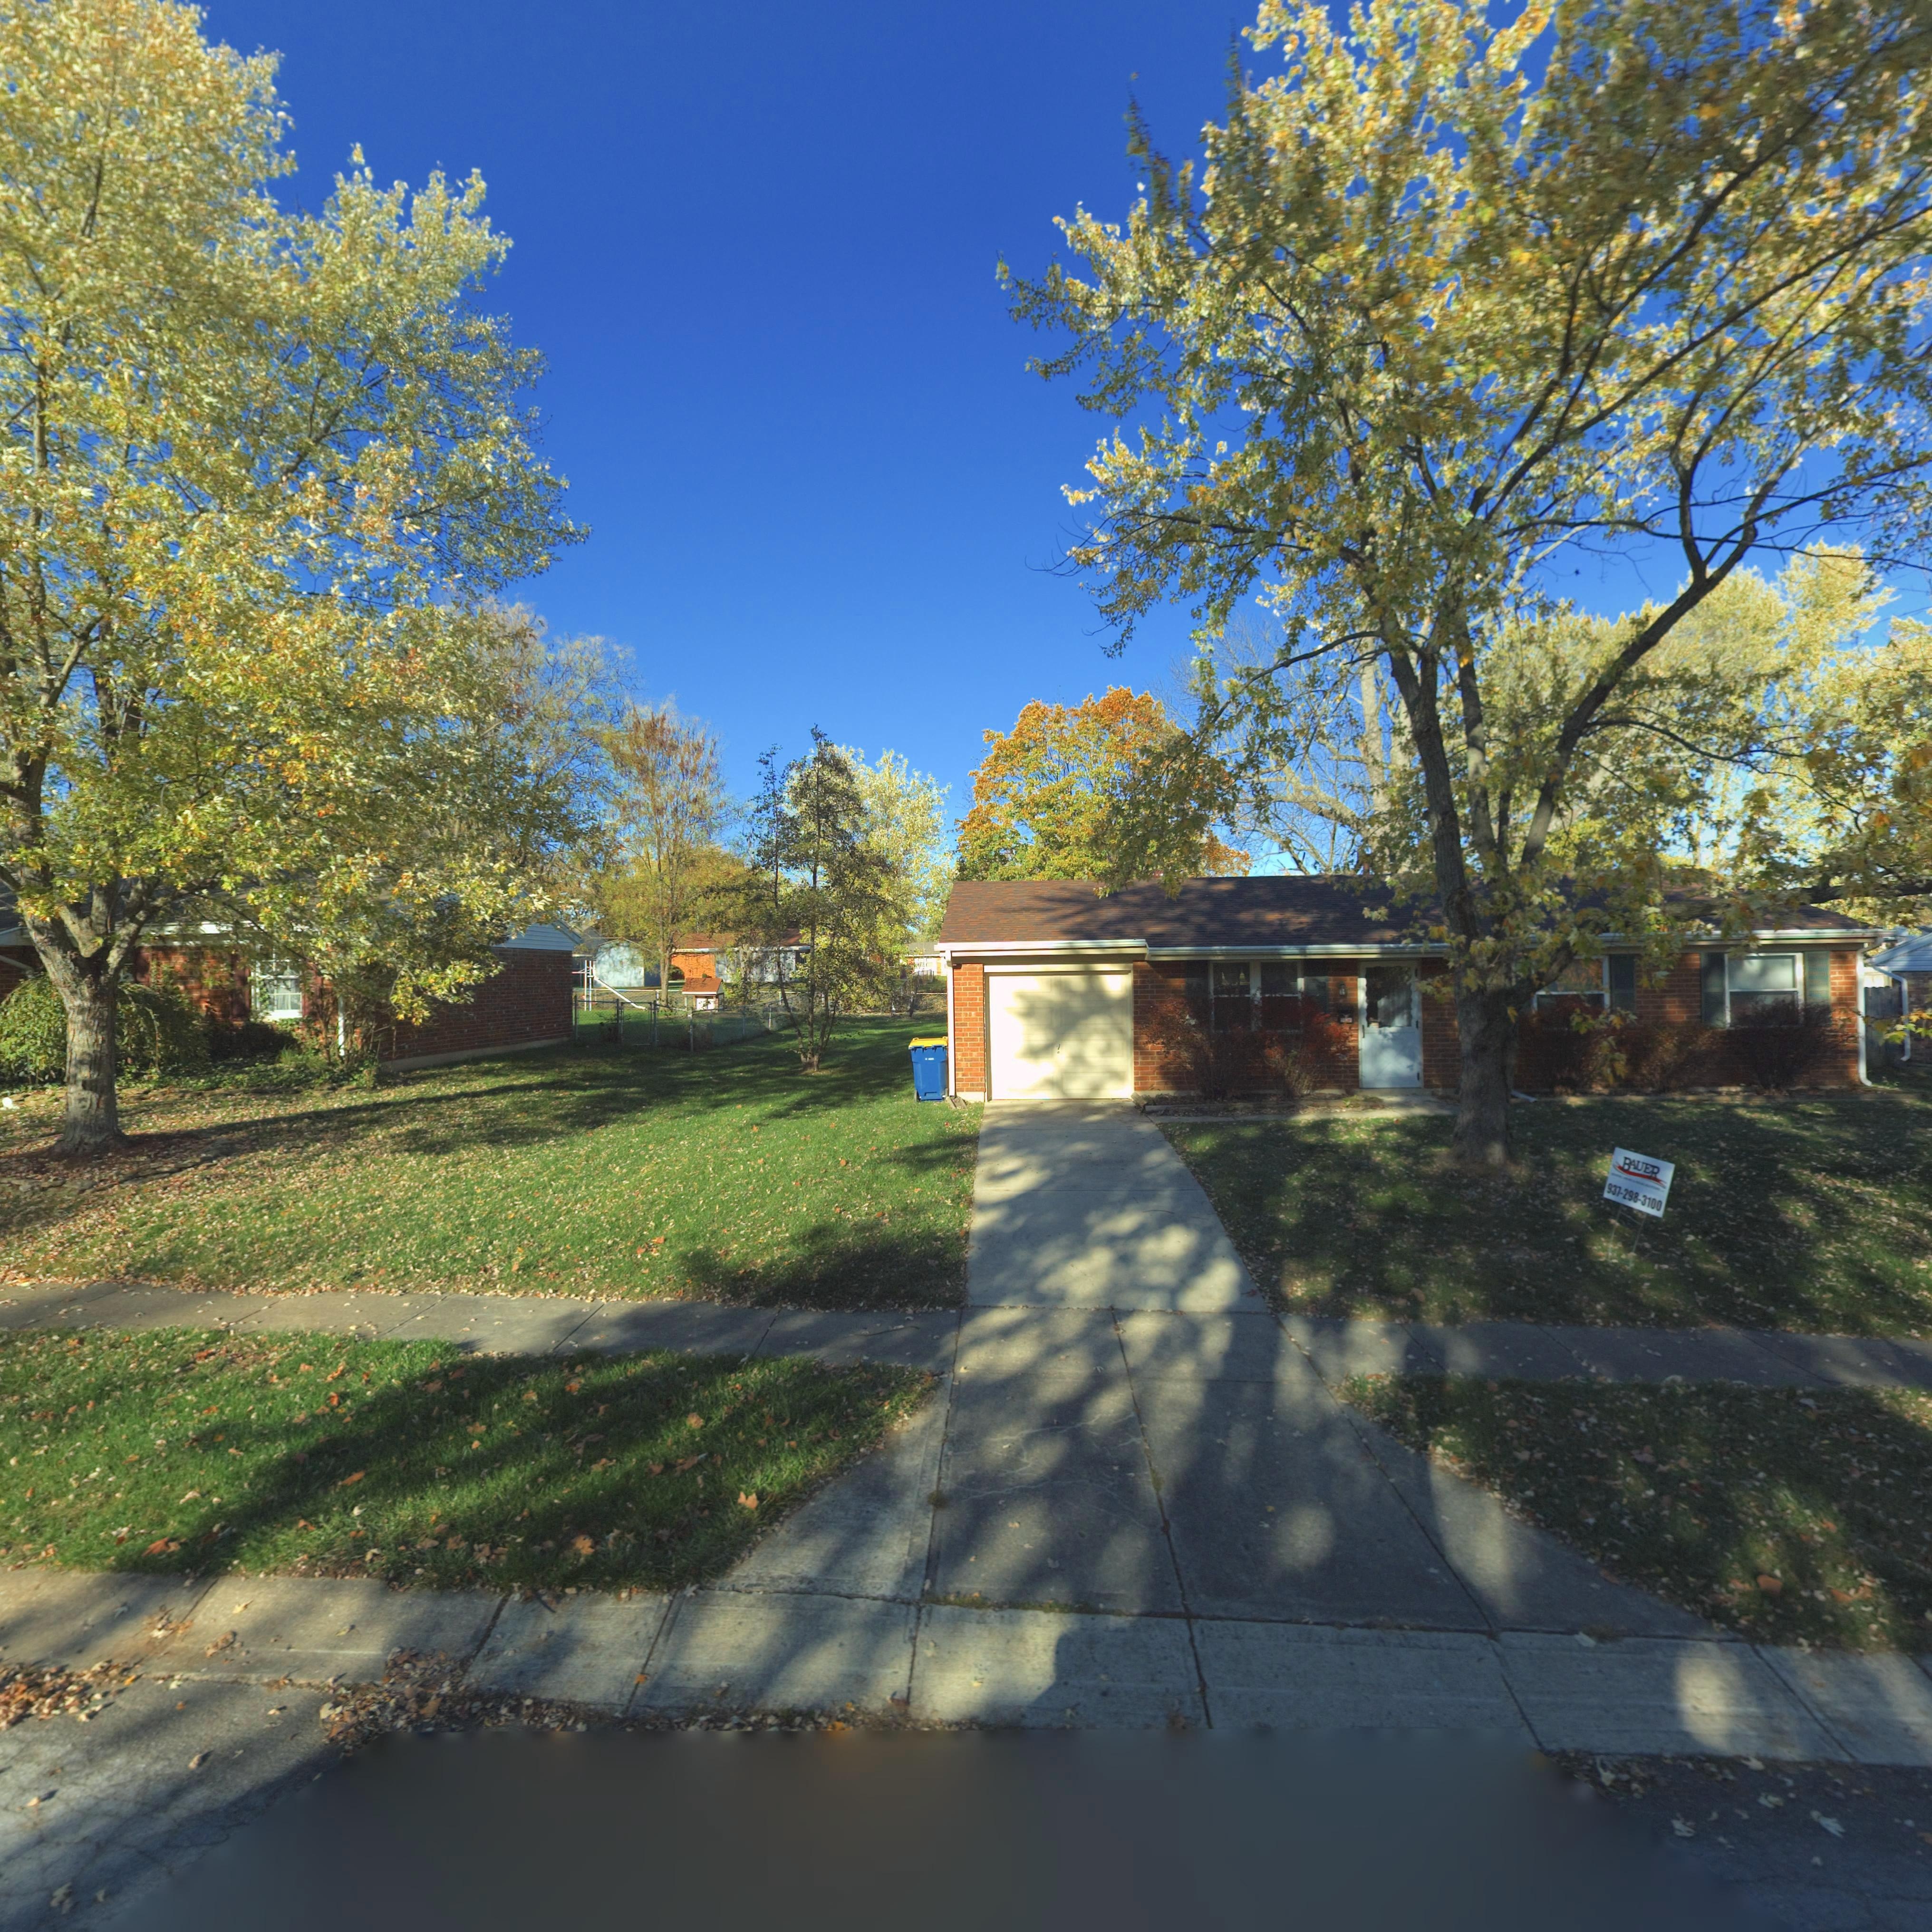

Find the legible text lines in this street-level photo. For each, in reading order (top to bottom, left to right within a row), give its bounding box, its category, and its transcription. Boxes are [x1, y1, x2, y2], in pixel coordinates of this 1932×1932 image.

[1340, 1017, 1352, 1023] StreetNumber: 5***